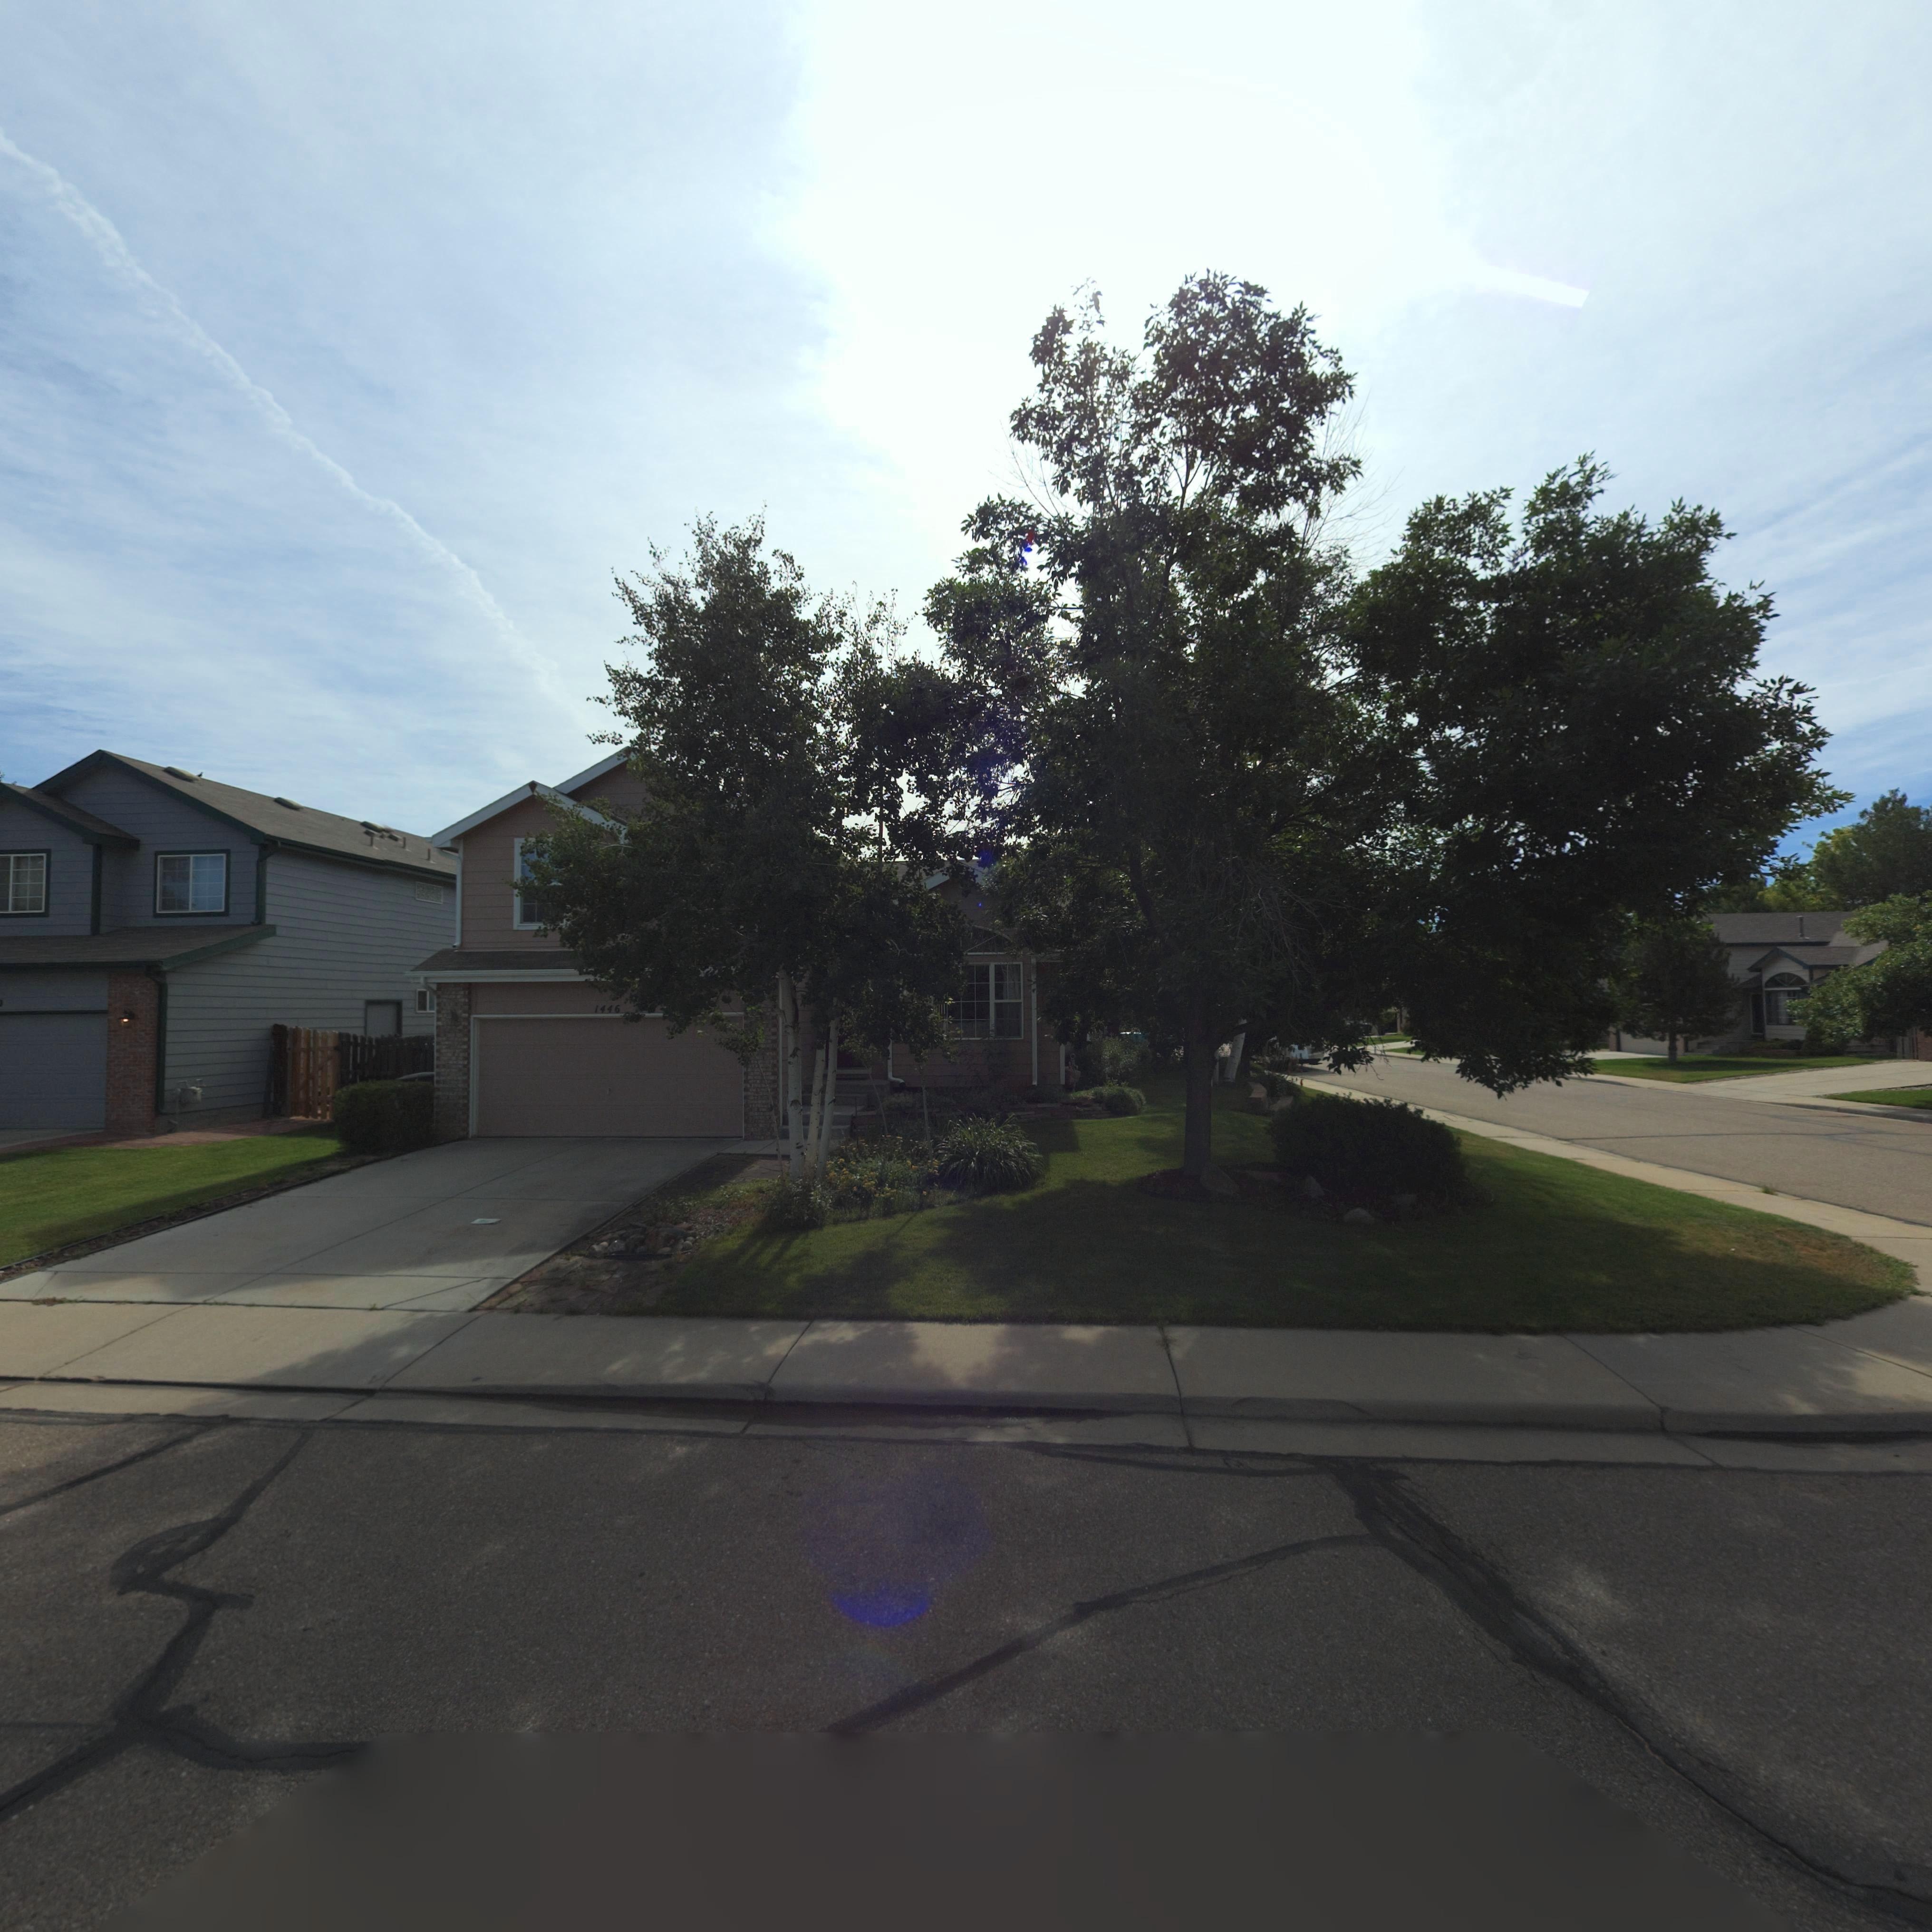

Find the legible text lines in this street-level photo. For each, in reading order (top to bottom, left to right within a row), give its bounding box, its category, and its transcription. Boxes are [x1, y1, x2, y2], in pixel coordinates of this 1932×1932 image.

[593, 1004, 621, 1014] StreetNumber: 1446